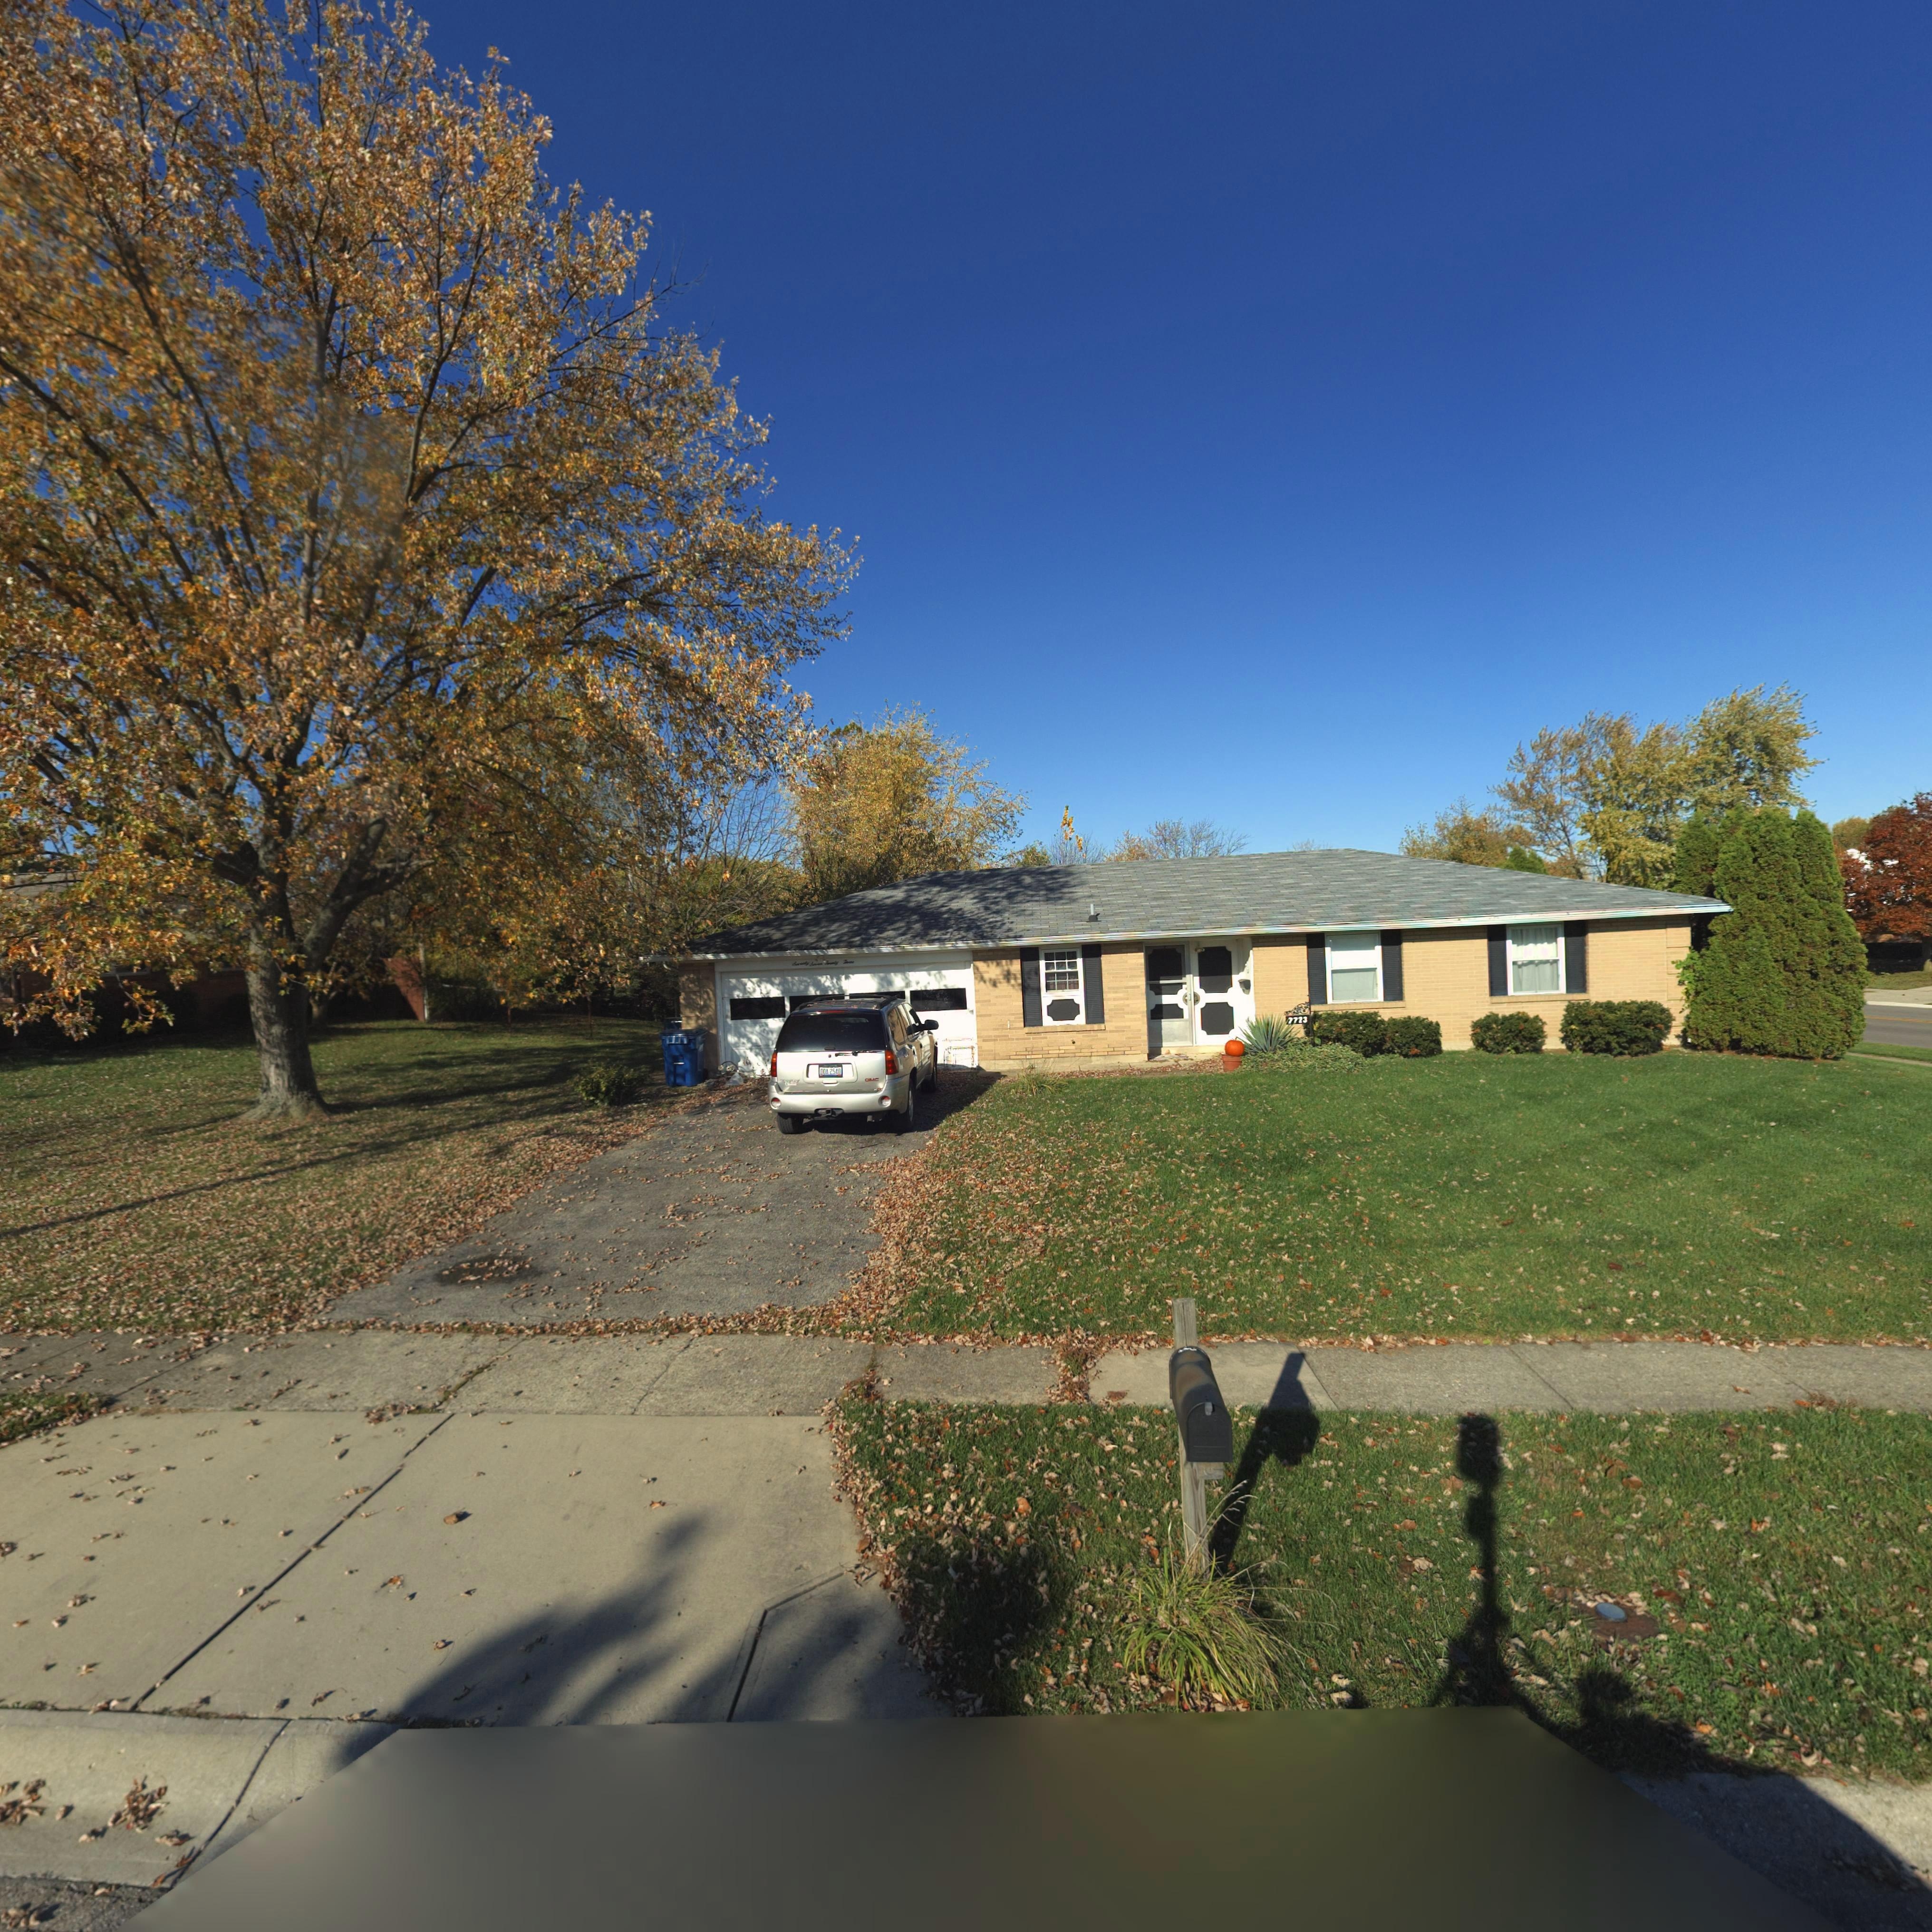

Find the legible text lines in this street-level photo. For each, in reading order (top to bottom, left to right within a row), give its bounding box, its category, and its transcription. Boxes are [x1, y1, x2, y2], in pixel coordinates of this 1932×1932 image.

[1287, 1015, 1309, 1025] StreetNumber: 7723